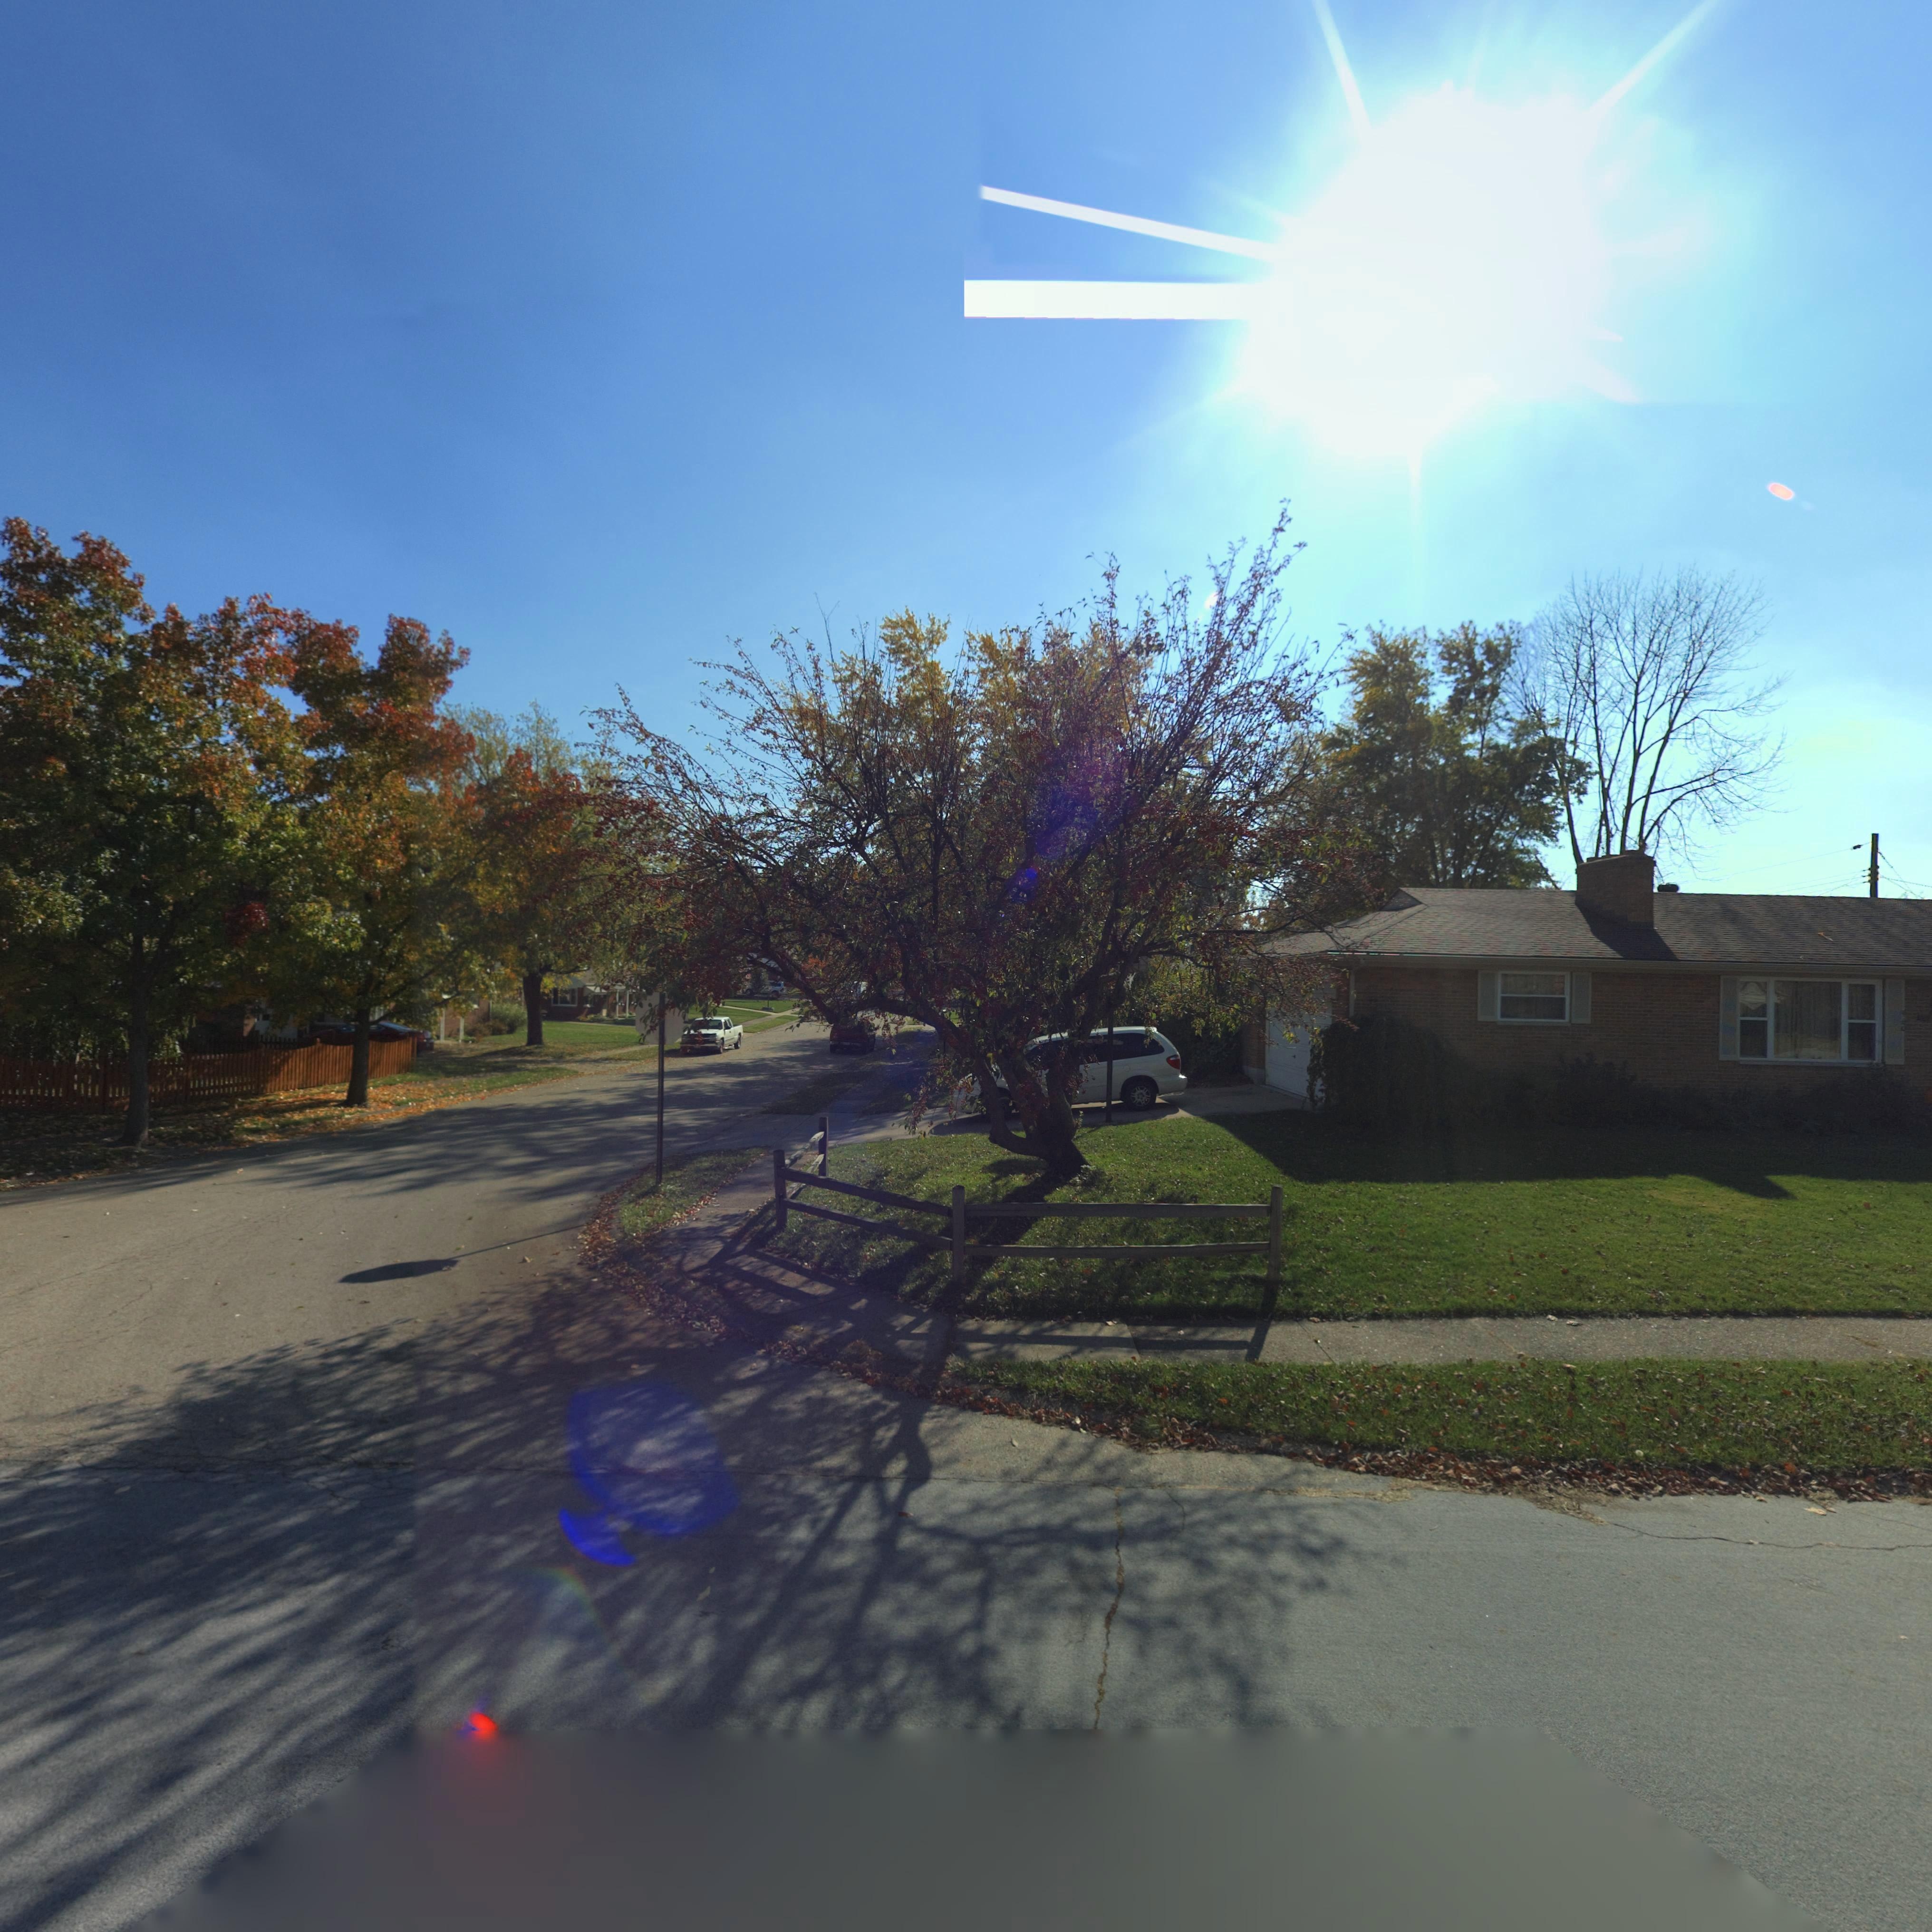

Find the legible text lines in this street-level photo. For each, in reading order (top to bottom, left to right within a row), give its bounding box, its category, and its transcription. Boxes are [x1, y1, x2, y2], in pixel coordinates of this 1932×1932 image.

[1901, 1010, 1906, 1032] StreetNumber: 960